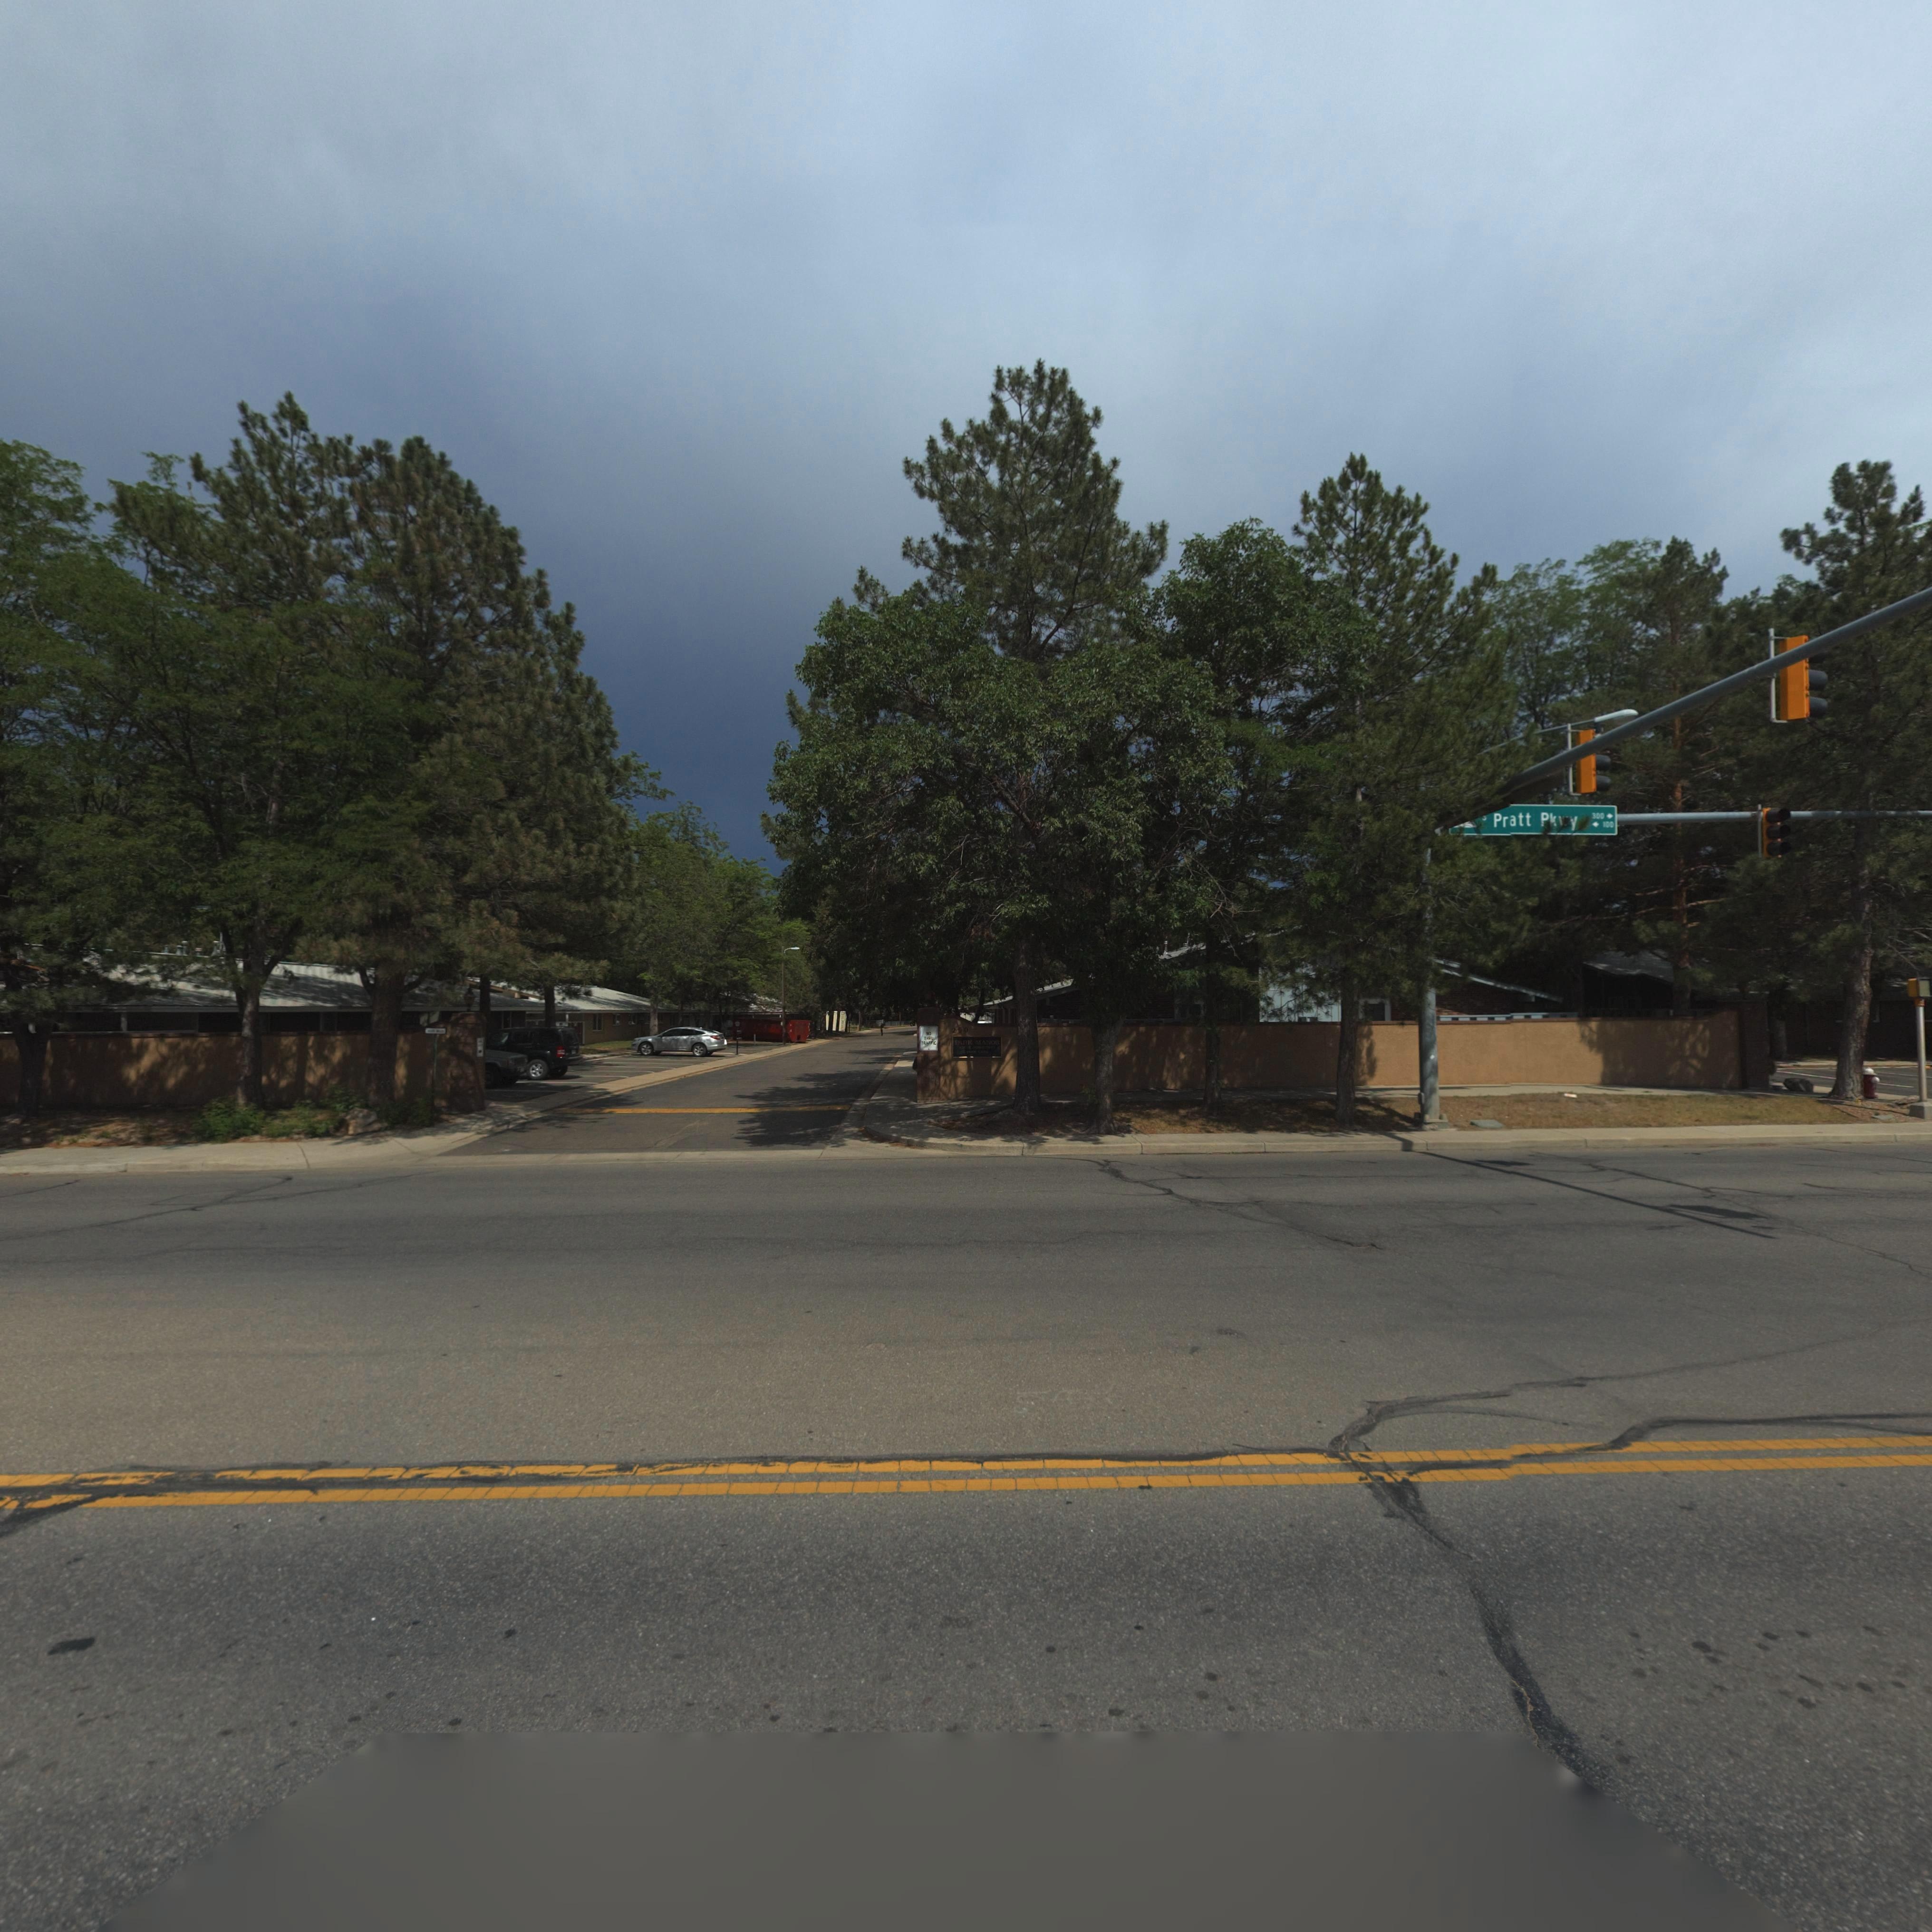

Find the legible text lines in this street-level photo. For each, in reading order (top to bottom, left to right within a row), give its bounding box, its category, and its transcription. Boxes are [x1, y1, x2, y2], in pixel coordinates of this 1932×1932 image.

[1591, 812, 1613, 820] StreetNumberRange: 300 ->
[1493, 812, 1578, 831] StreetName: Pratt Pkwy
[1592, 821, 1614, 828] StreetNumberRange: <- 100
[951, 1026, 968, 1033] StreetNumber: 200